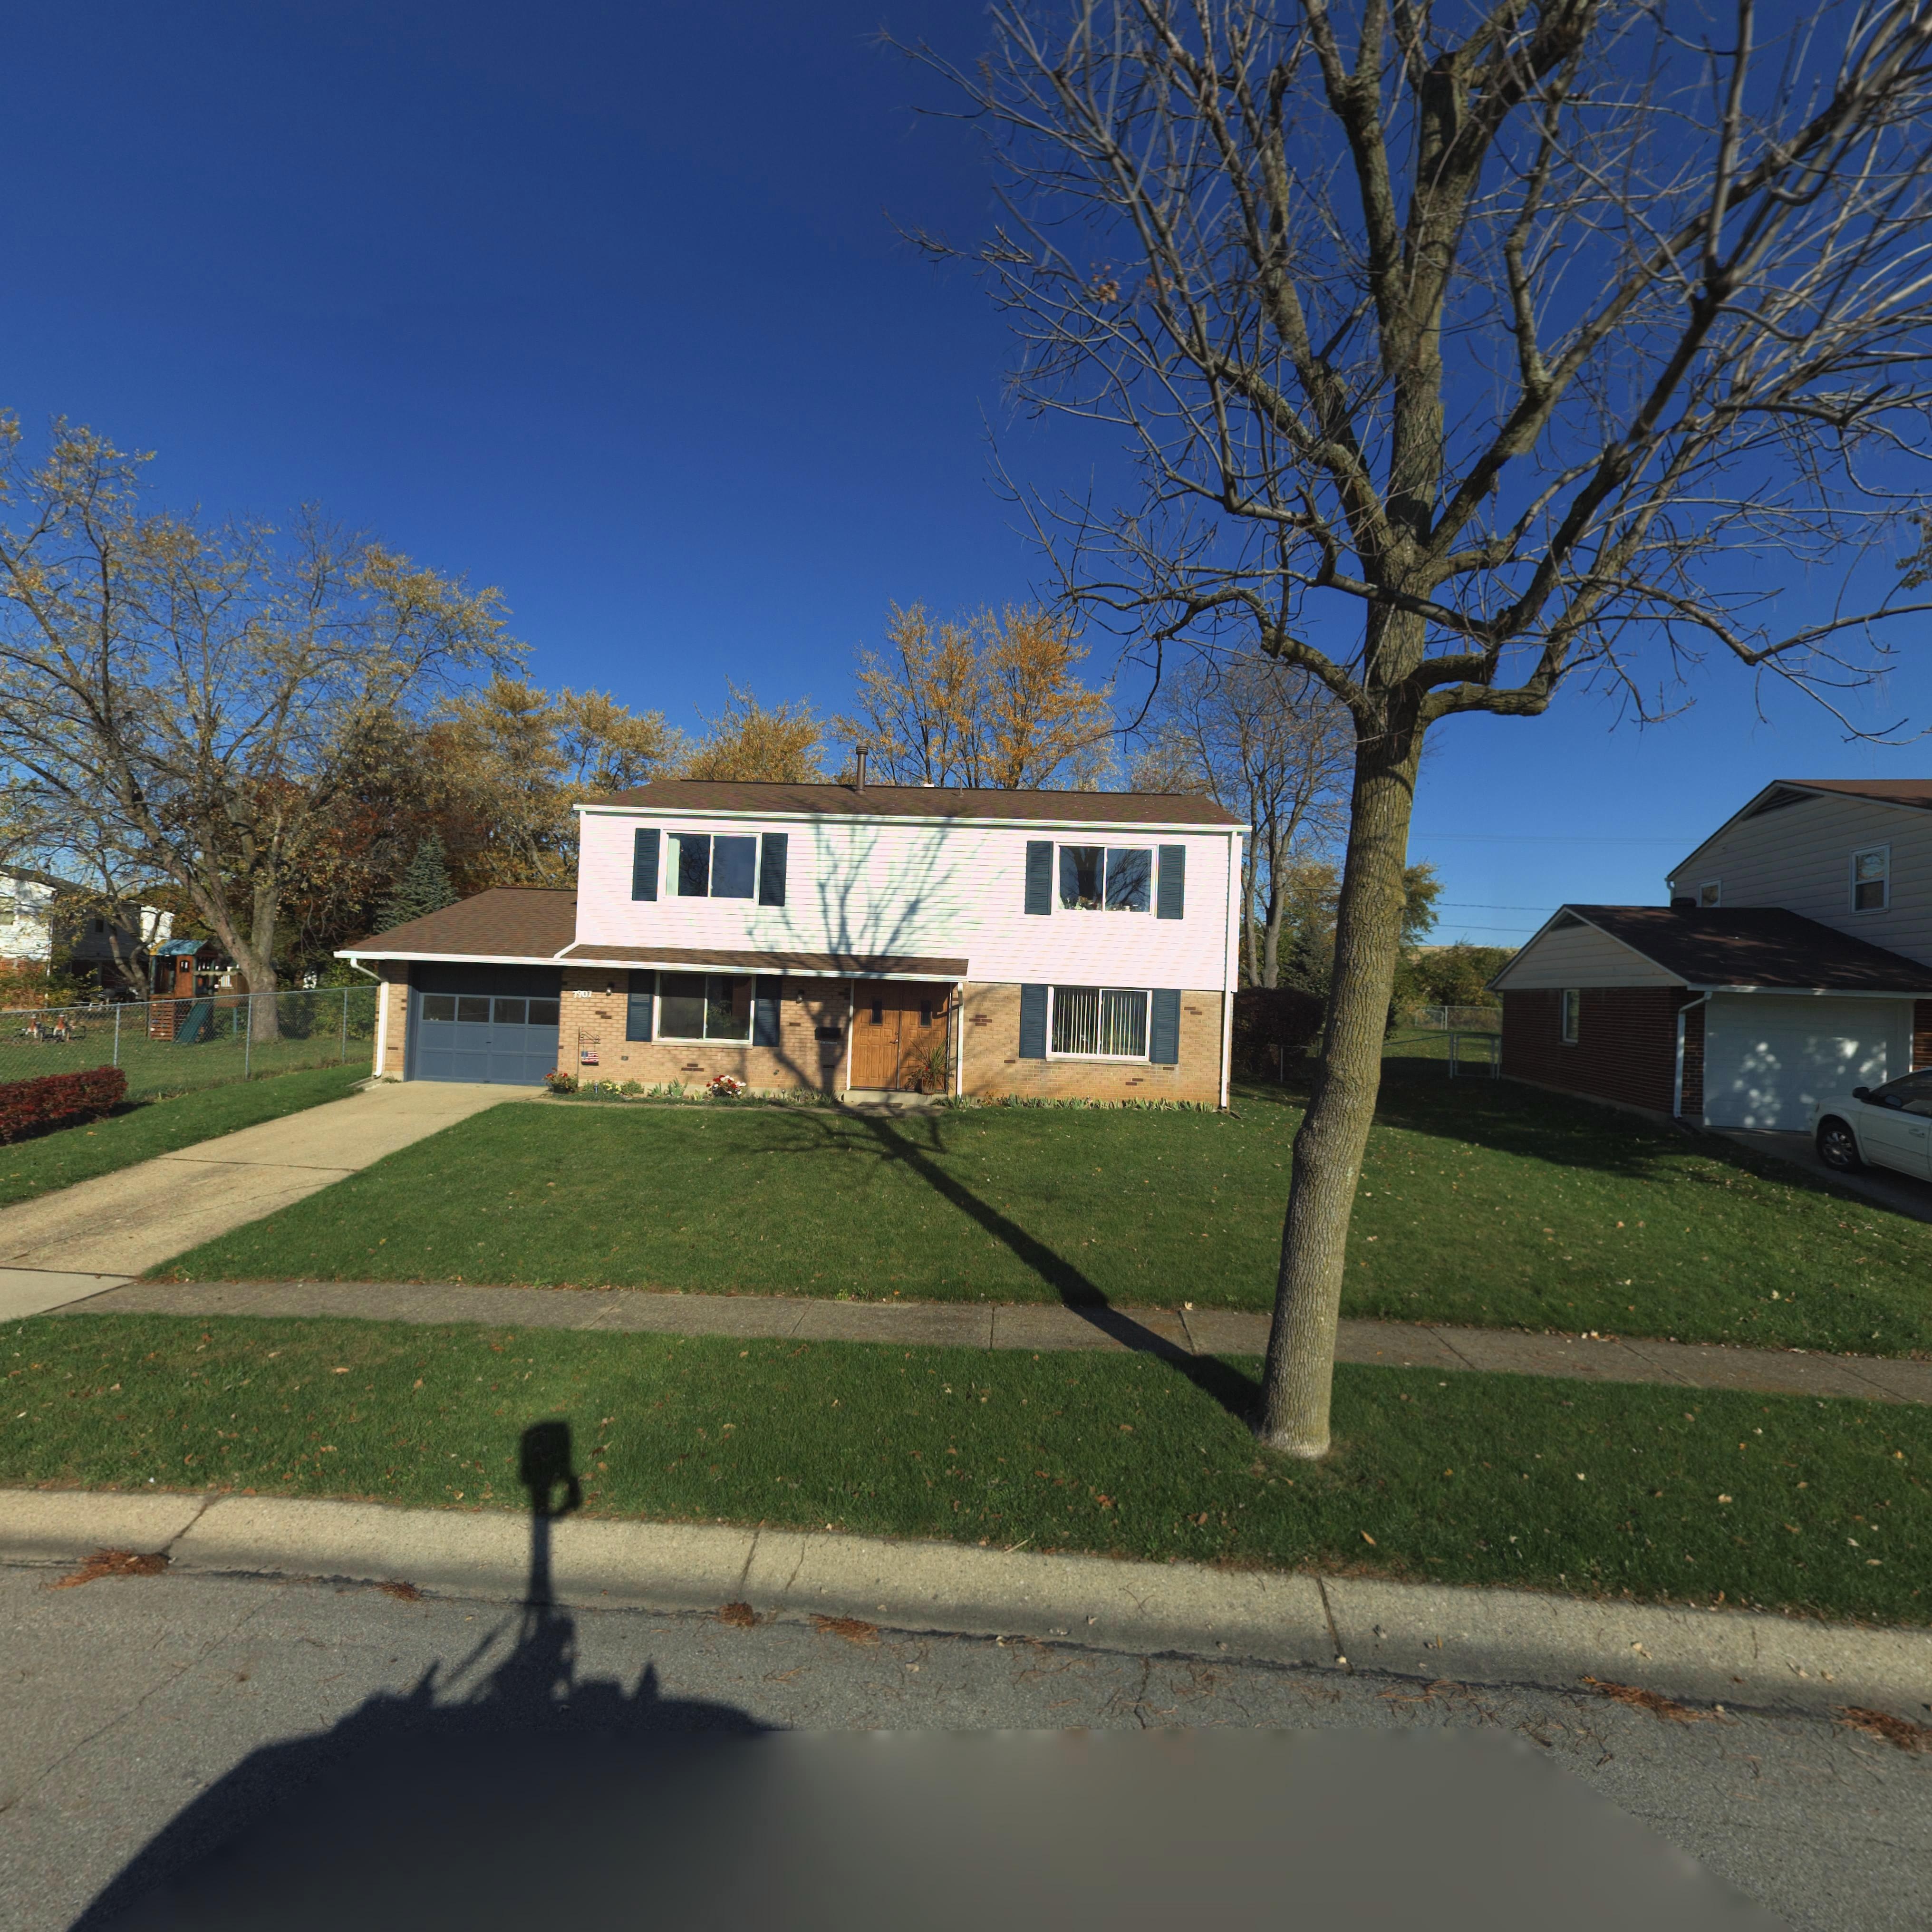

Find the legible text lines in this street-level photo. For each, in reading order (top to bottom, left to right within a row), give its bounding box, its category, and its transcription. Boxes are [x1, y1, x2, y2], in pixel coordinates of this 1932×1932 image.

[571, 989, 594, 1000] StreetNumber: 7907